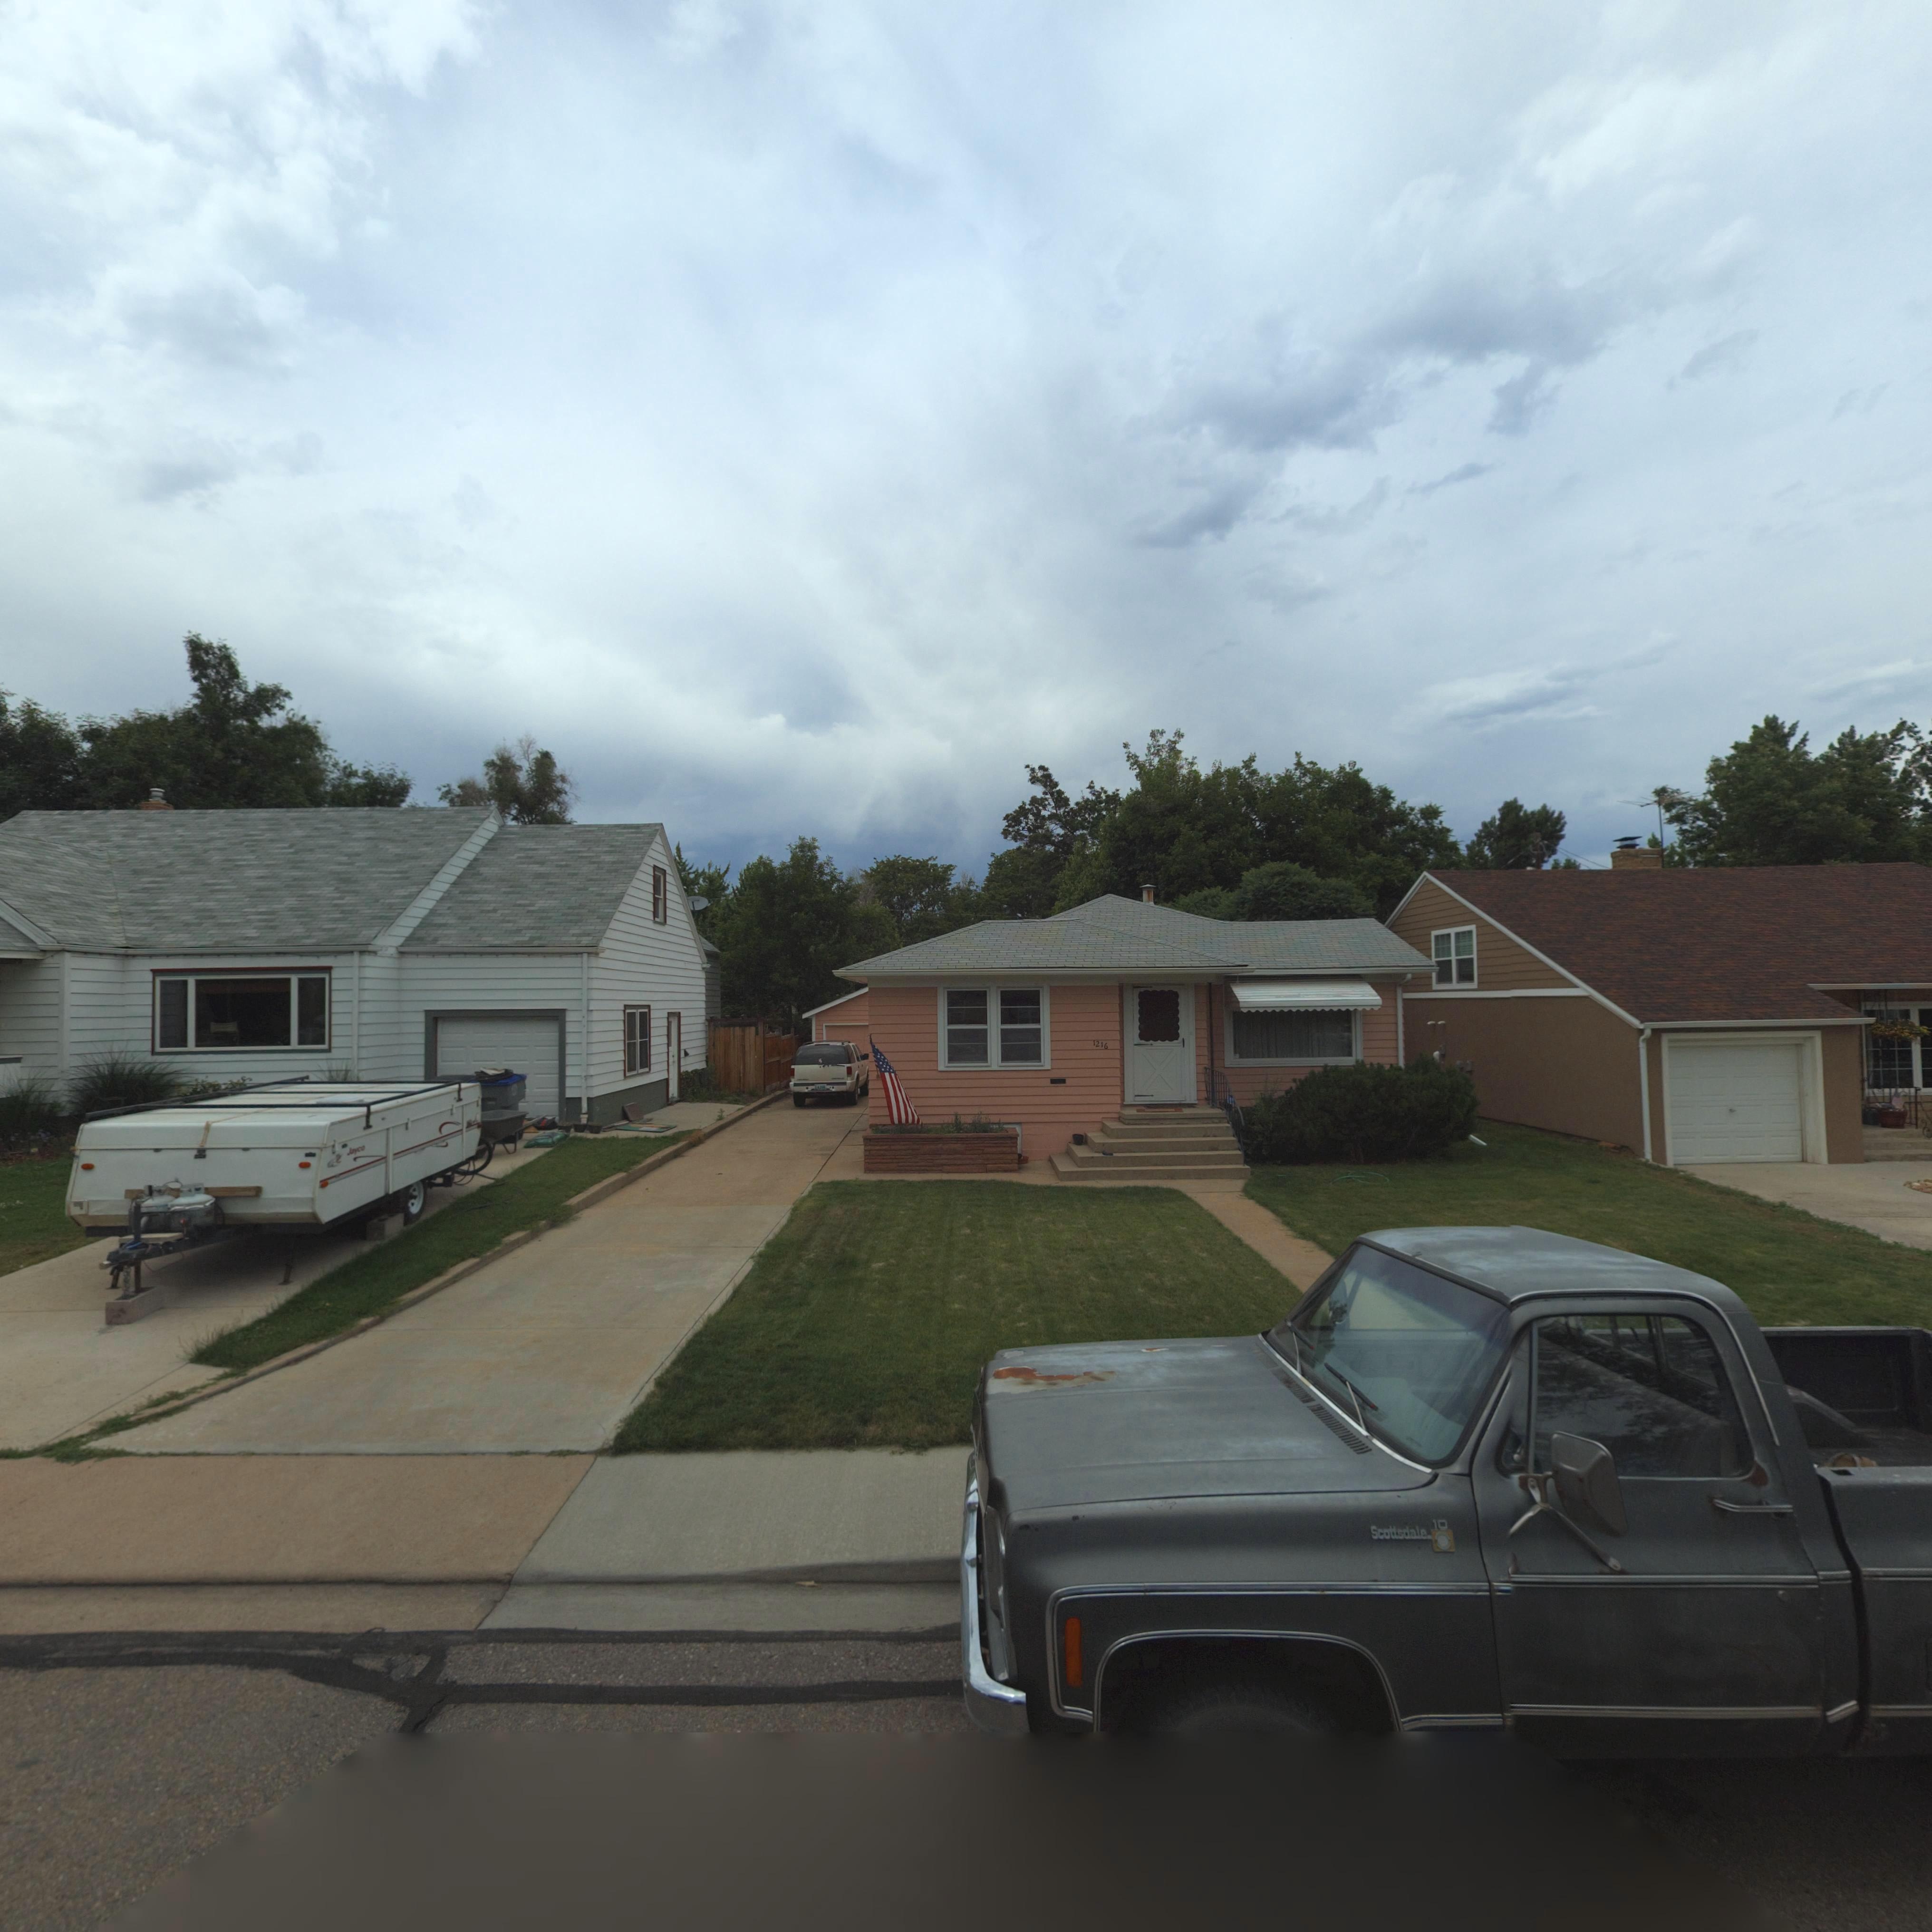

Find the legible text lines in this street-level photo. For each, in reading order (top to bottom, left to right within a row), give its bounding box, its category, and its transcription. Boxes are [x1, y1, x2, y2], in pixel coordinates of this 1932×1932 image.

[1093, 1039, 1108, 1049] StreetNumber: 1216